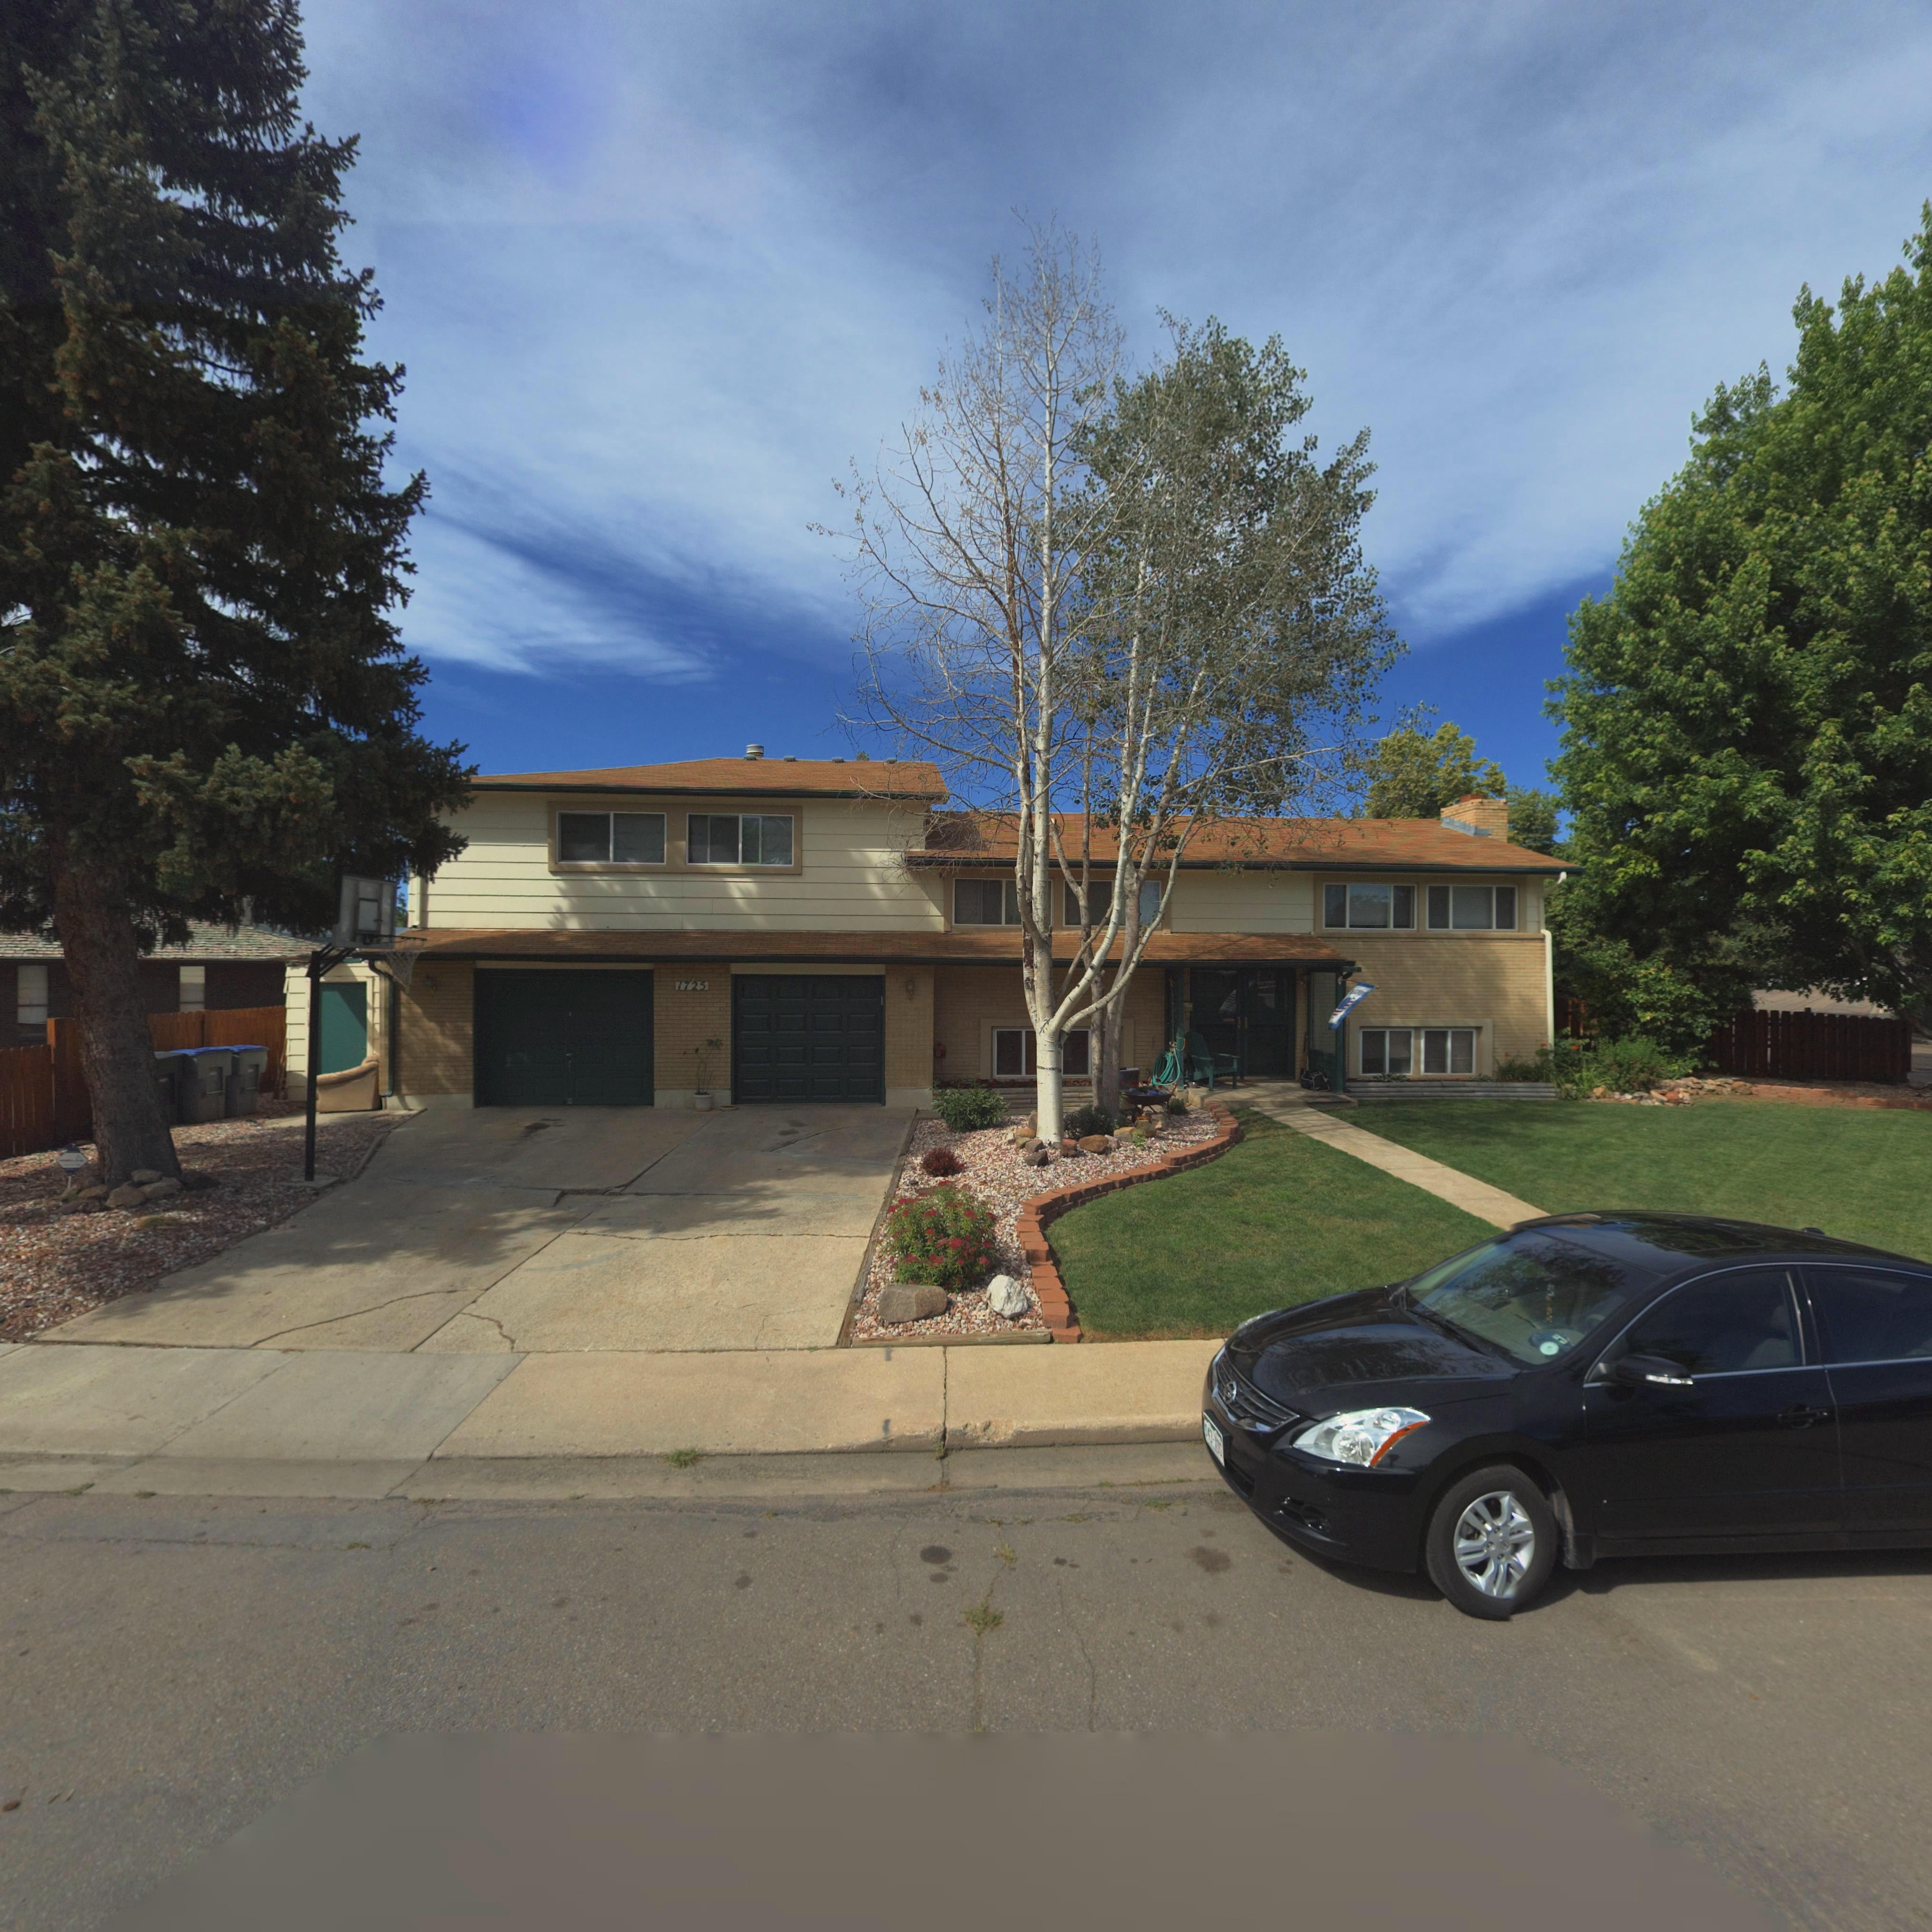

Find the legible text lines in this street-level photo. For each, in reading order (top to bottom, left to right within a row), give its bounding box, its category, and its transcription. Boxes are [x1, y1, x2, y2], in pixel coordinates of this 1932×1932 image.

[677, 981, 706, 990] StreetNumber: 1725